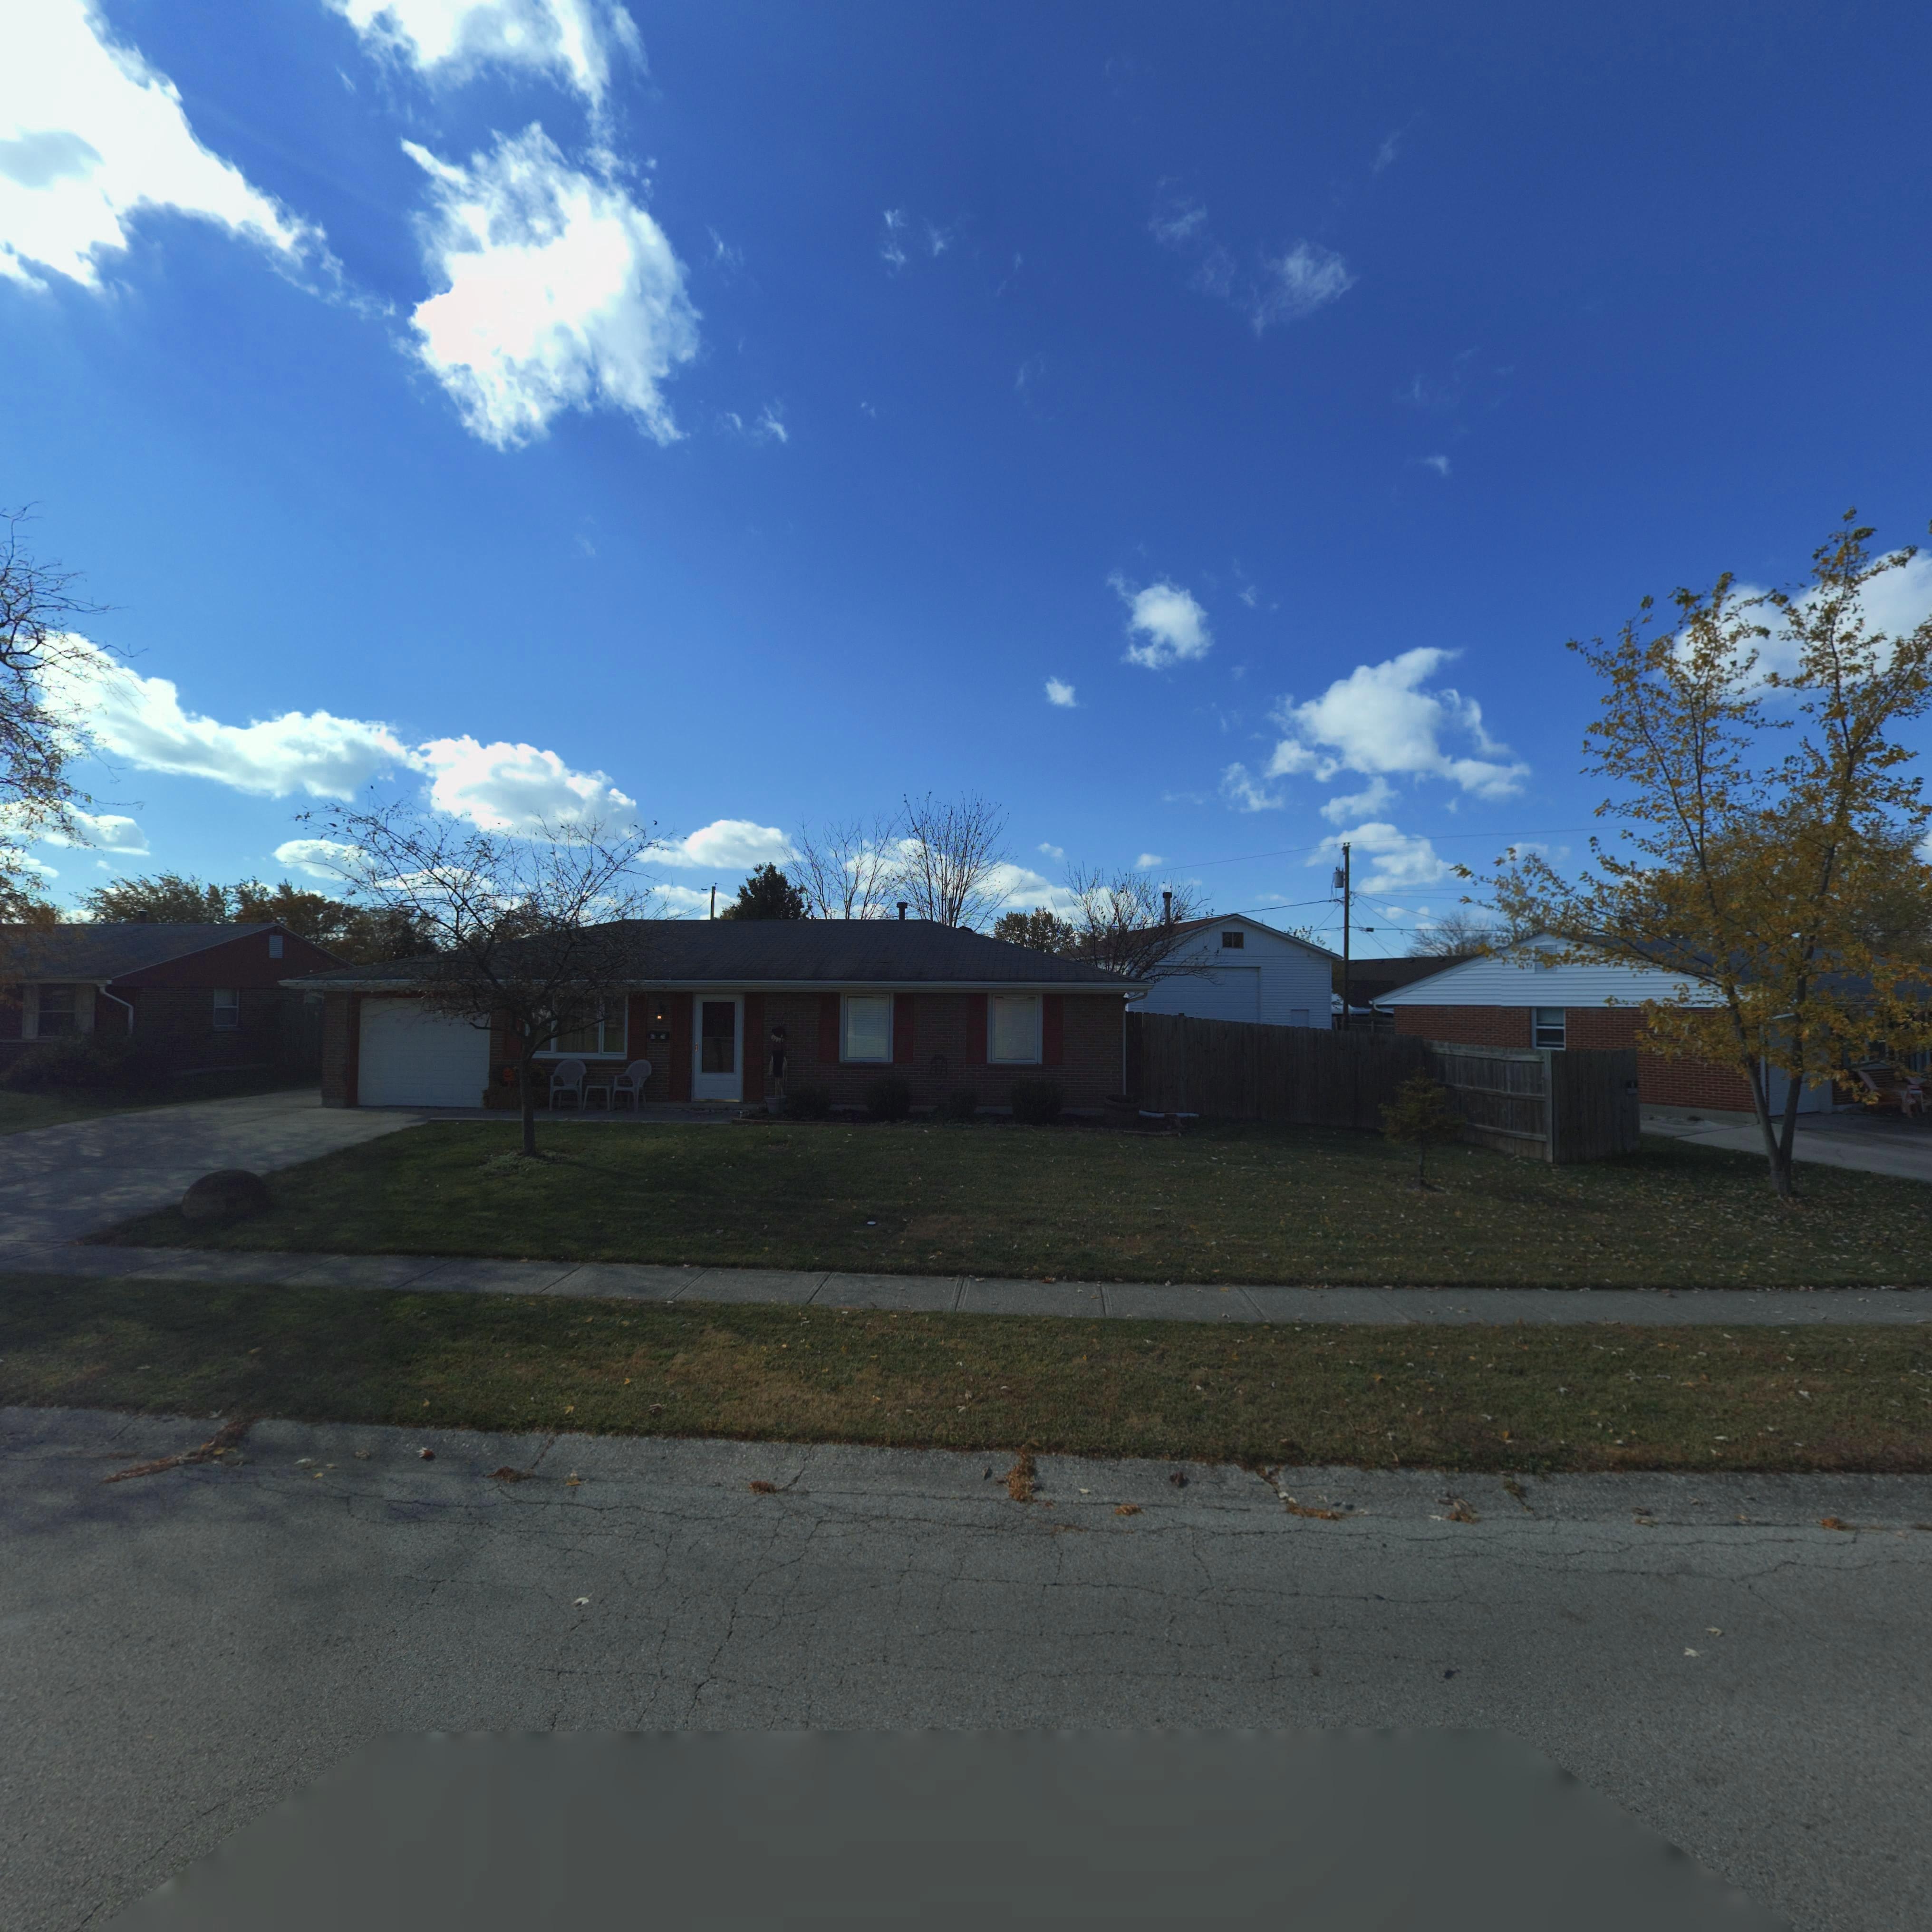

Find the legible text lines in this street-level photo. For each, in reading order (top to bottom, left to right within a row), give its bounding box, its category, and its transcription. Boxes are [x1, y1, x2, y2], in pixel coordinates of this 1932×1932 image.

[650, 1034, 666, 1039] StreetNumber: 64*20